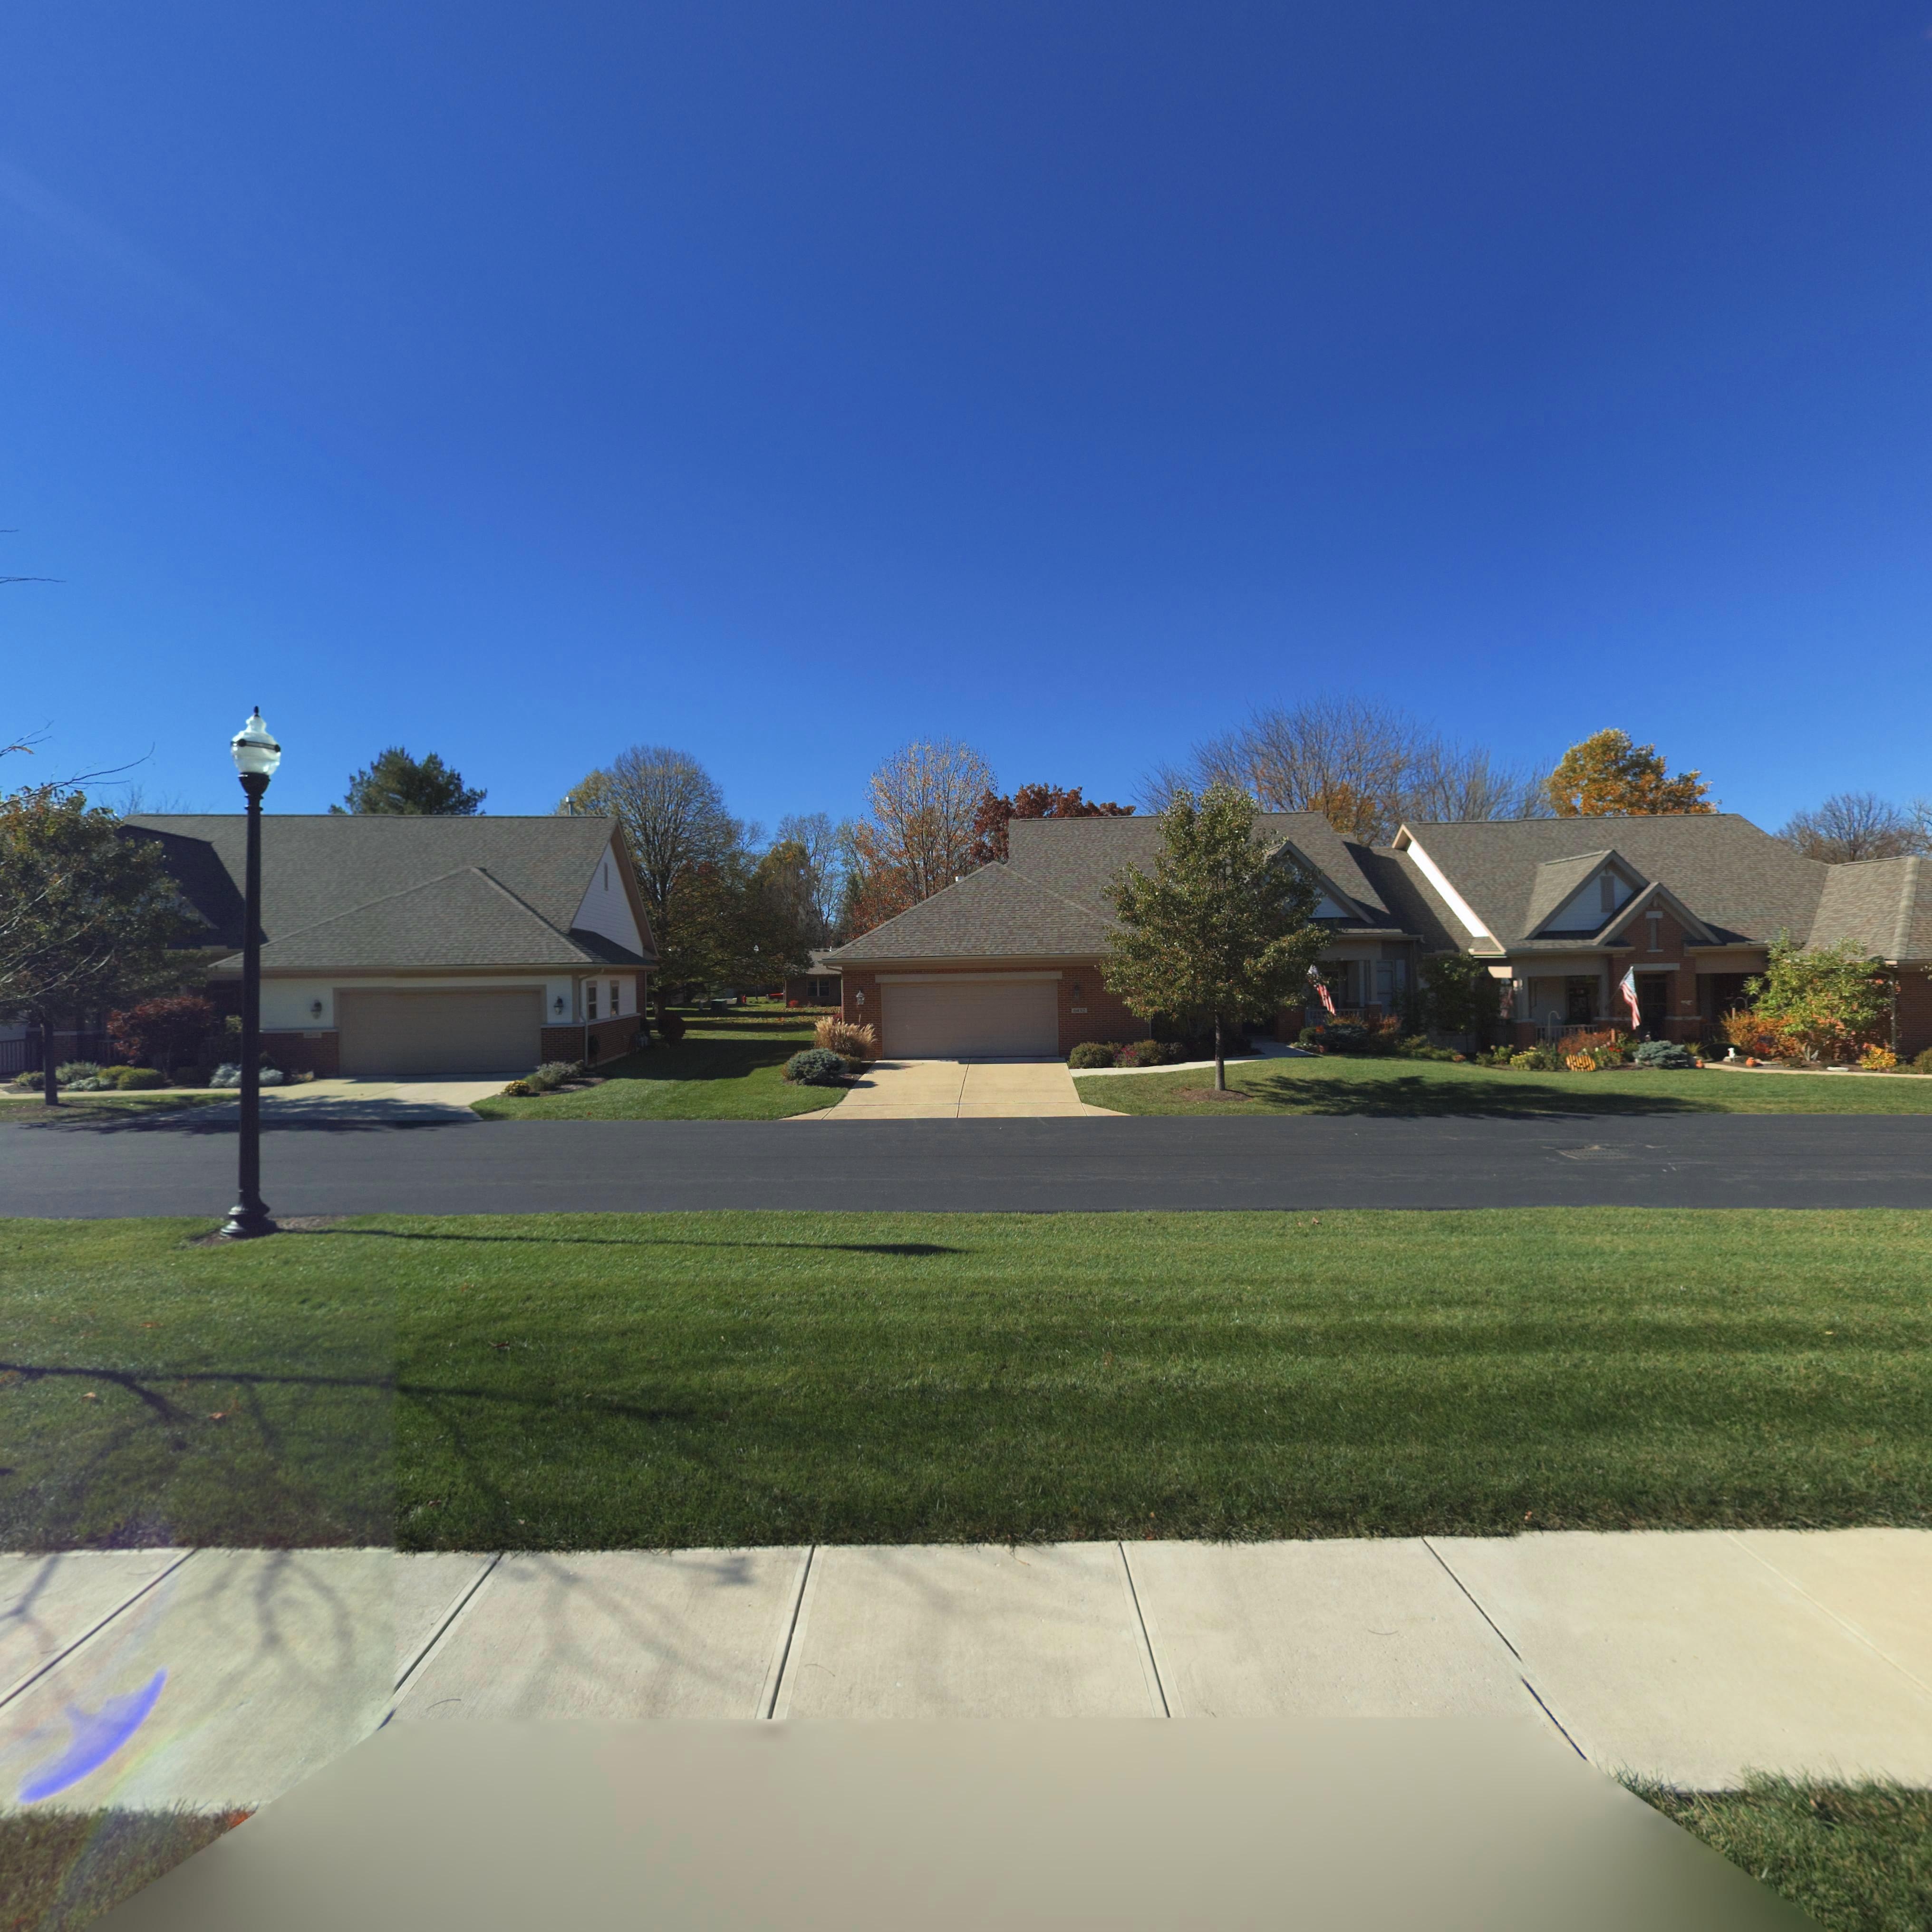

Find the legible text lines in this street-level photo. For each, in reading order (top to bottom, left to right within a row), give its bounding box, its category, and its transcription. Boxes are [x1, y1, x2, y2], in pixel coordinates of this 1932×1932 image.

[1072, 1008, 1086, 1013] StreetNumber: *4*2